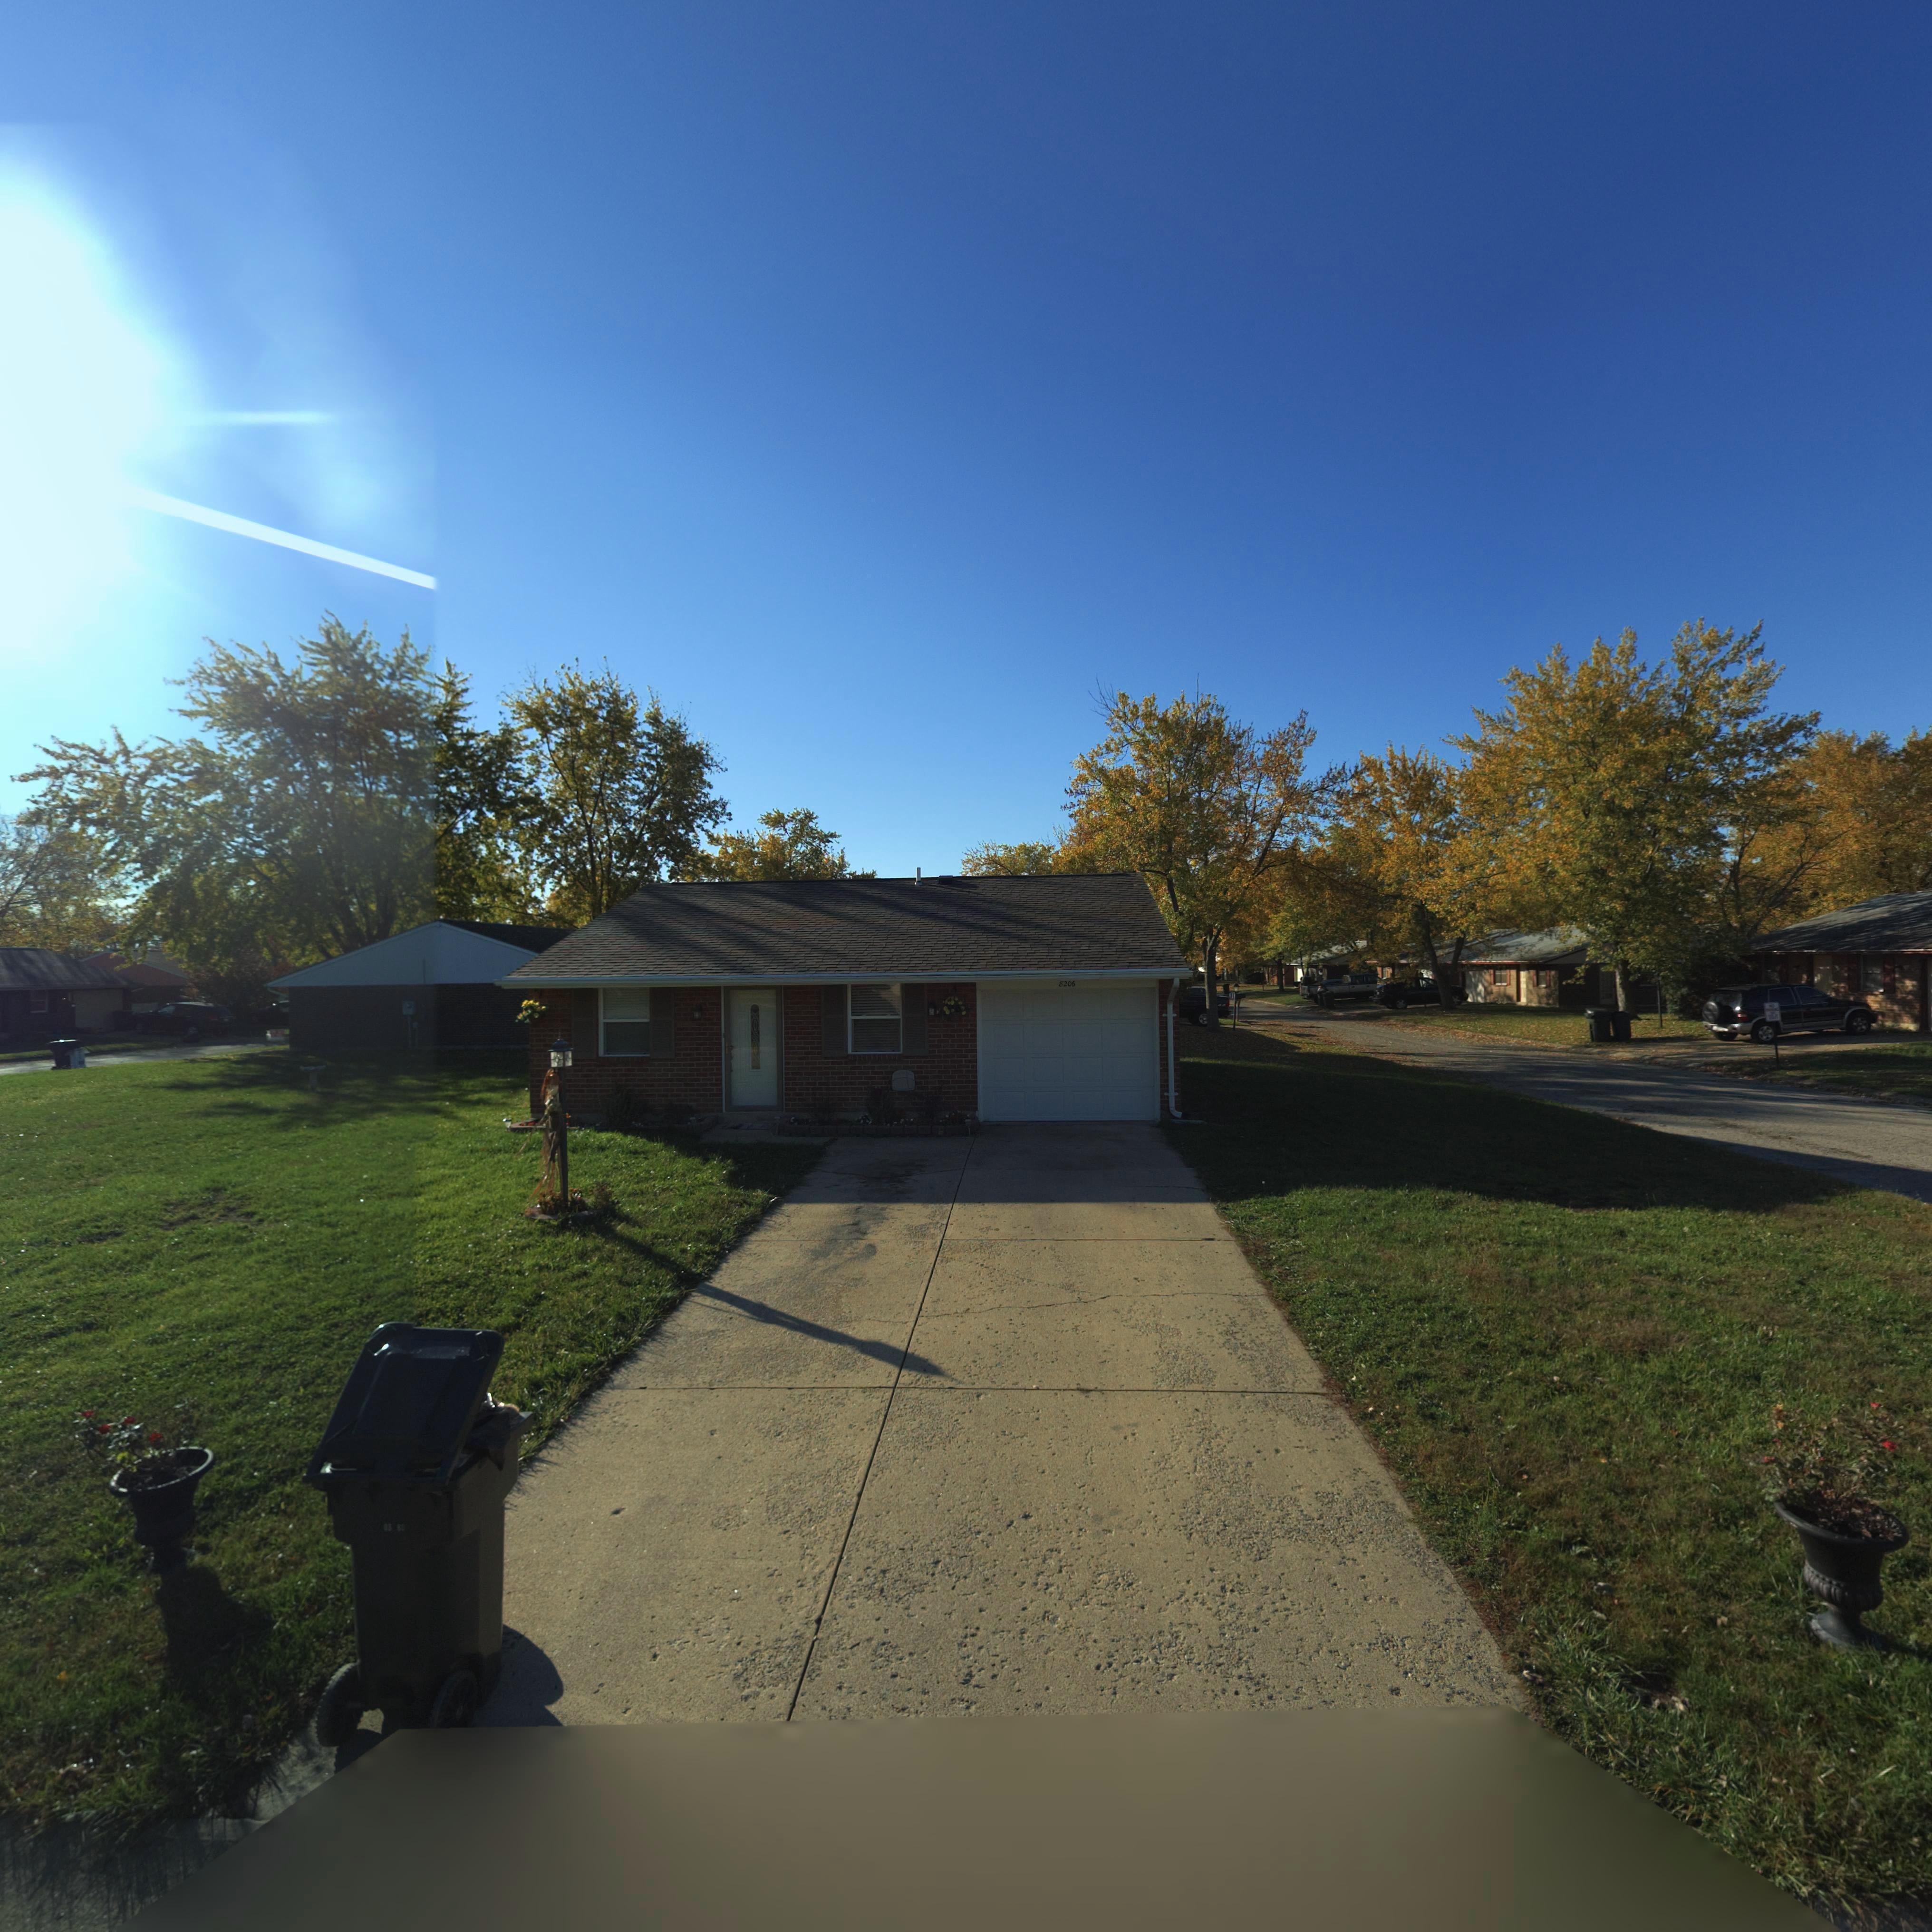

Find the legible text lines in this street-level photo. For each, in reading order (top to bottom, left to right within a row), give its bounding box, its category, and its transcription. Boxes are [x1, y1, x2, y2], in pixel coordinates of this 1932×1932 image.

[1058, 980, 1077, 988] StreetNumber: 8206